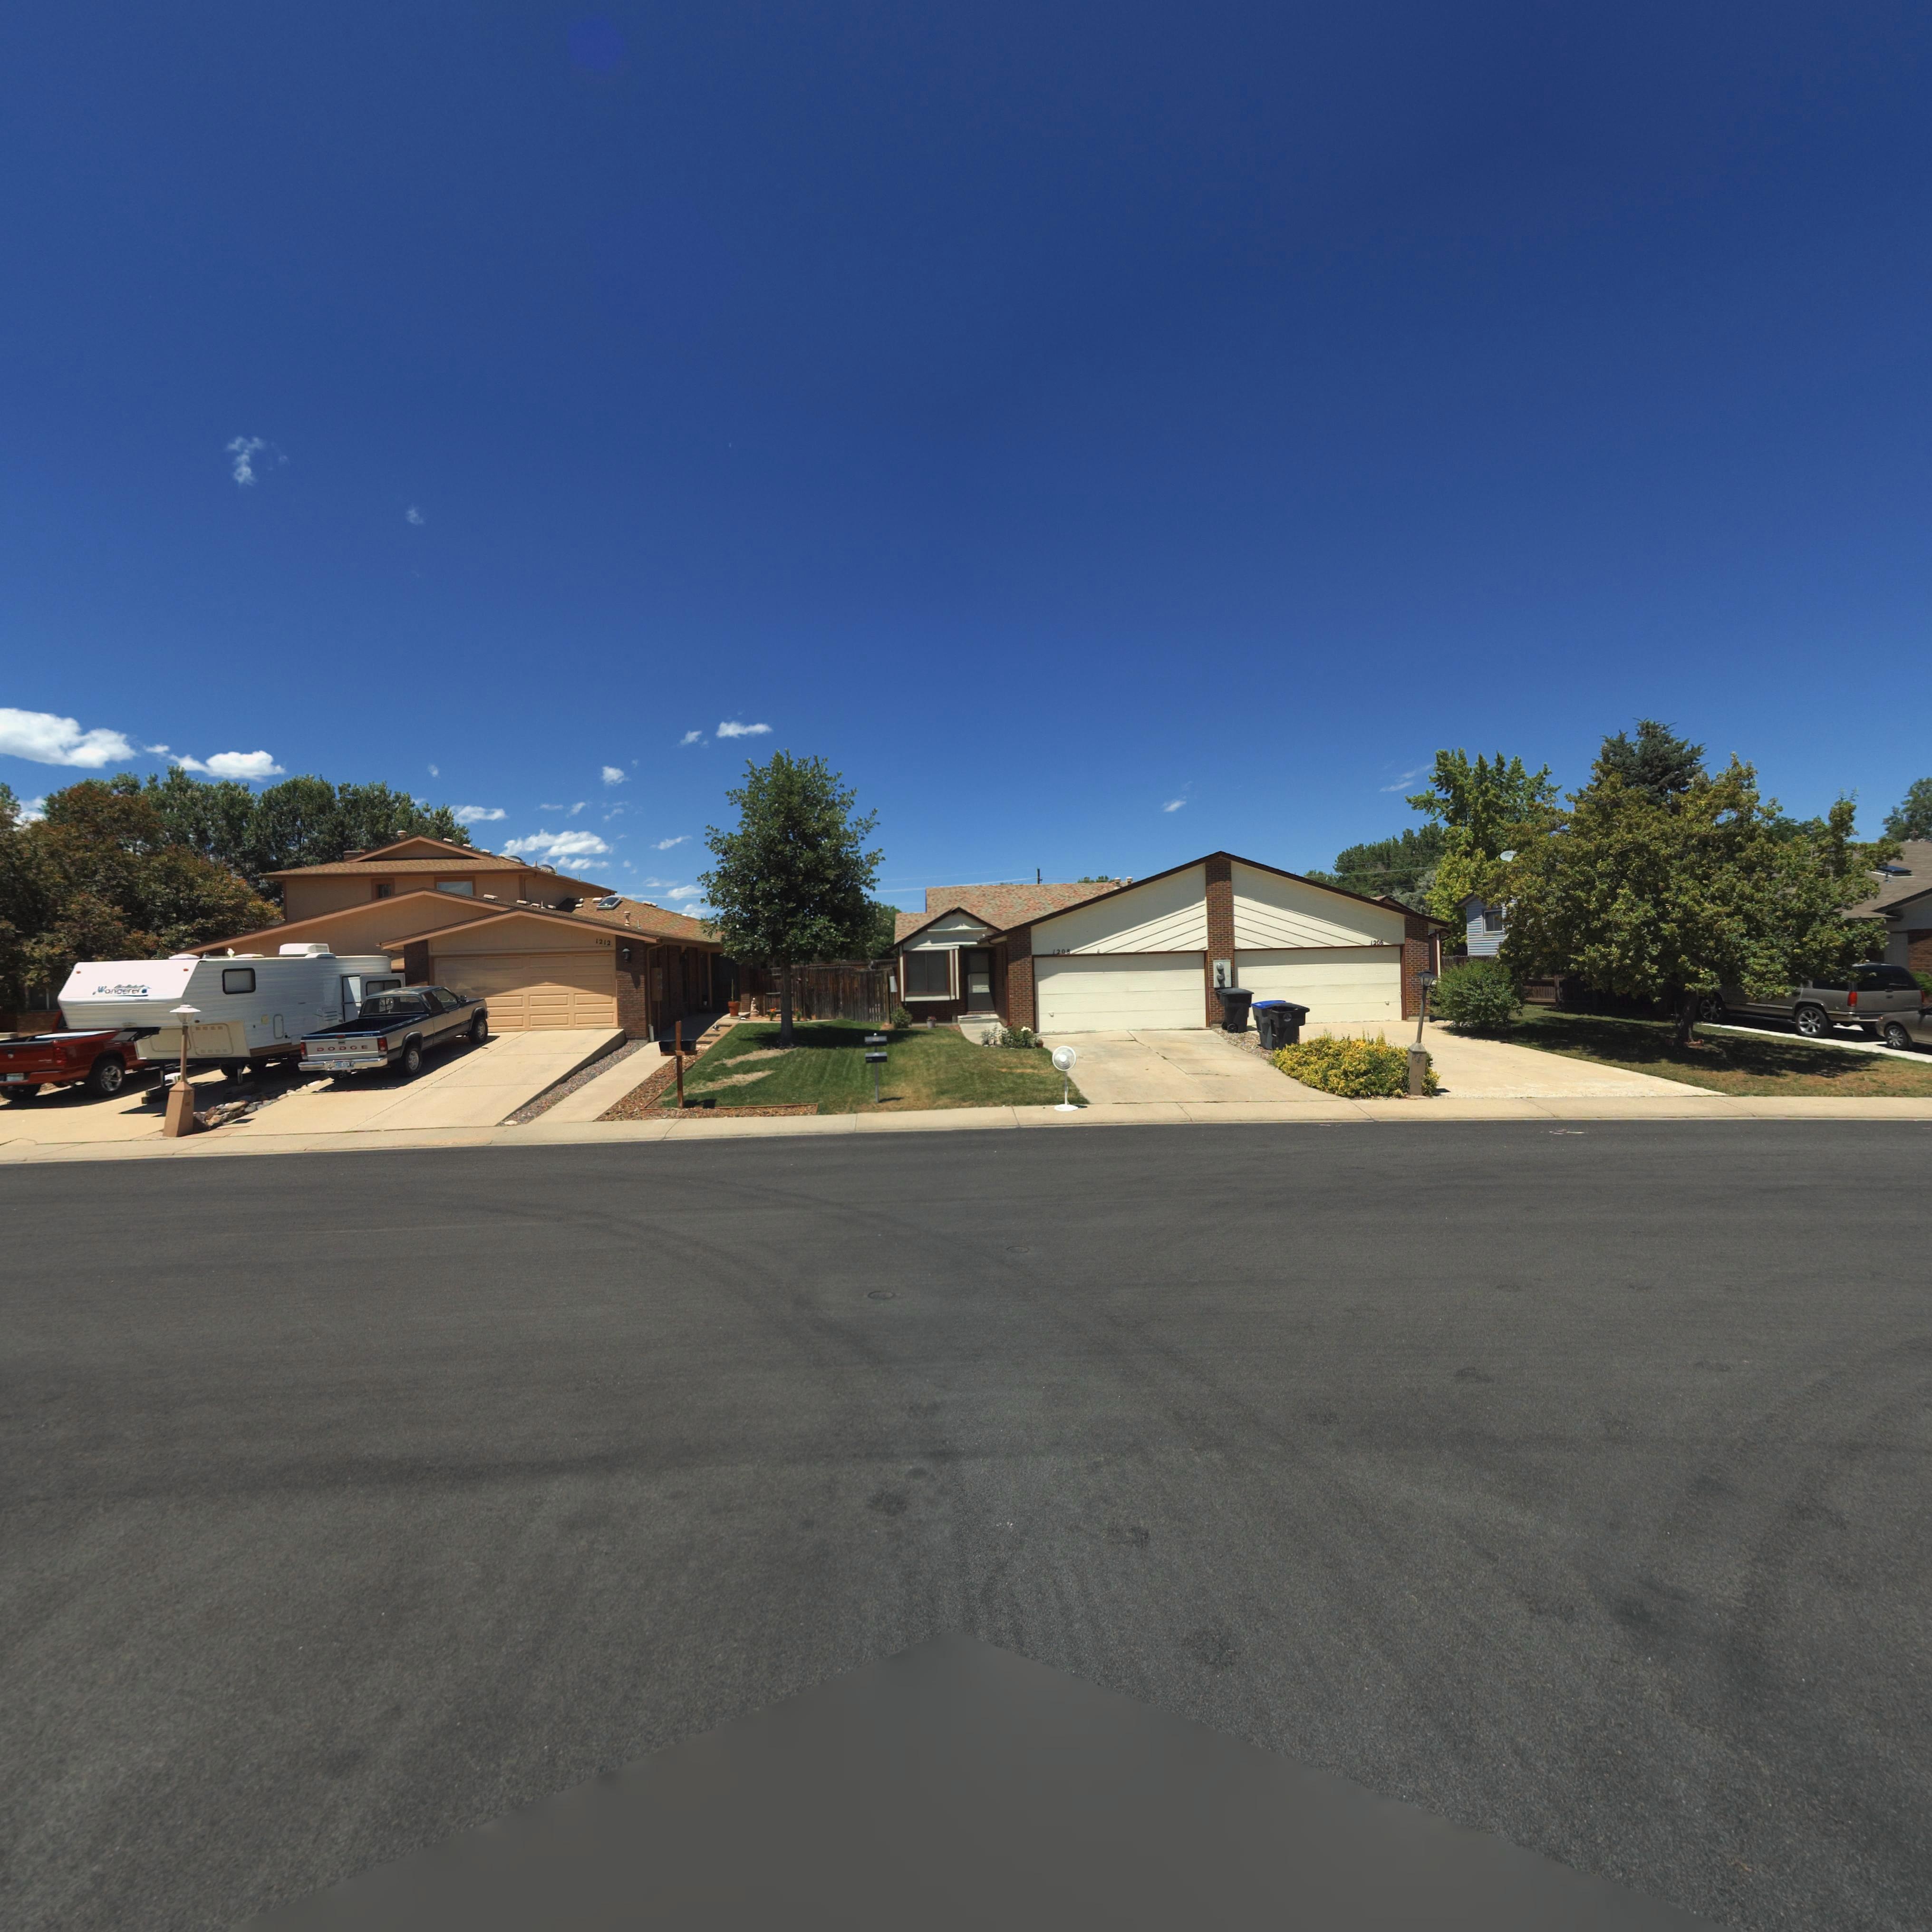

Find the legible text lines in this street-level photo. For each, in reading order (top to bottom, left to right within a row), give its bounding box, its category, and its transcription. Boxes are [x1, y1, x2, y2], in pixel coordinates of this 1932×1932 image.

[595, 937, 610, 946] StreetNumber: 1212
[1370, 939, 1383, 946] StreetNumber: 1206
[1052, 948, 1070, 955] StreetNumber: 1208